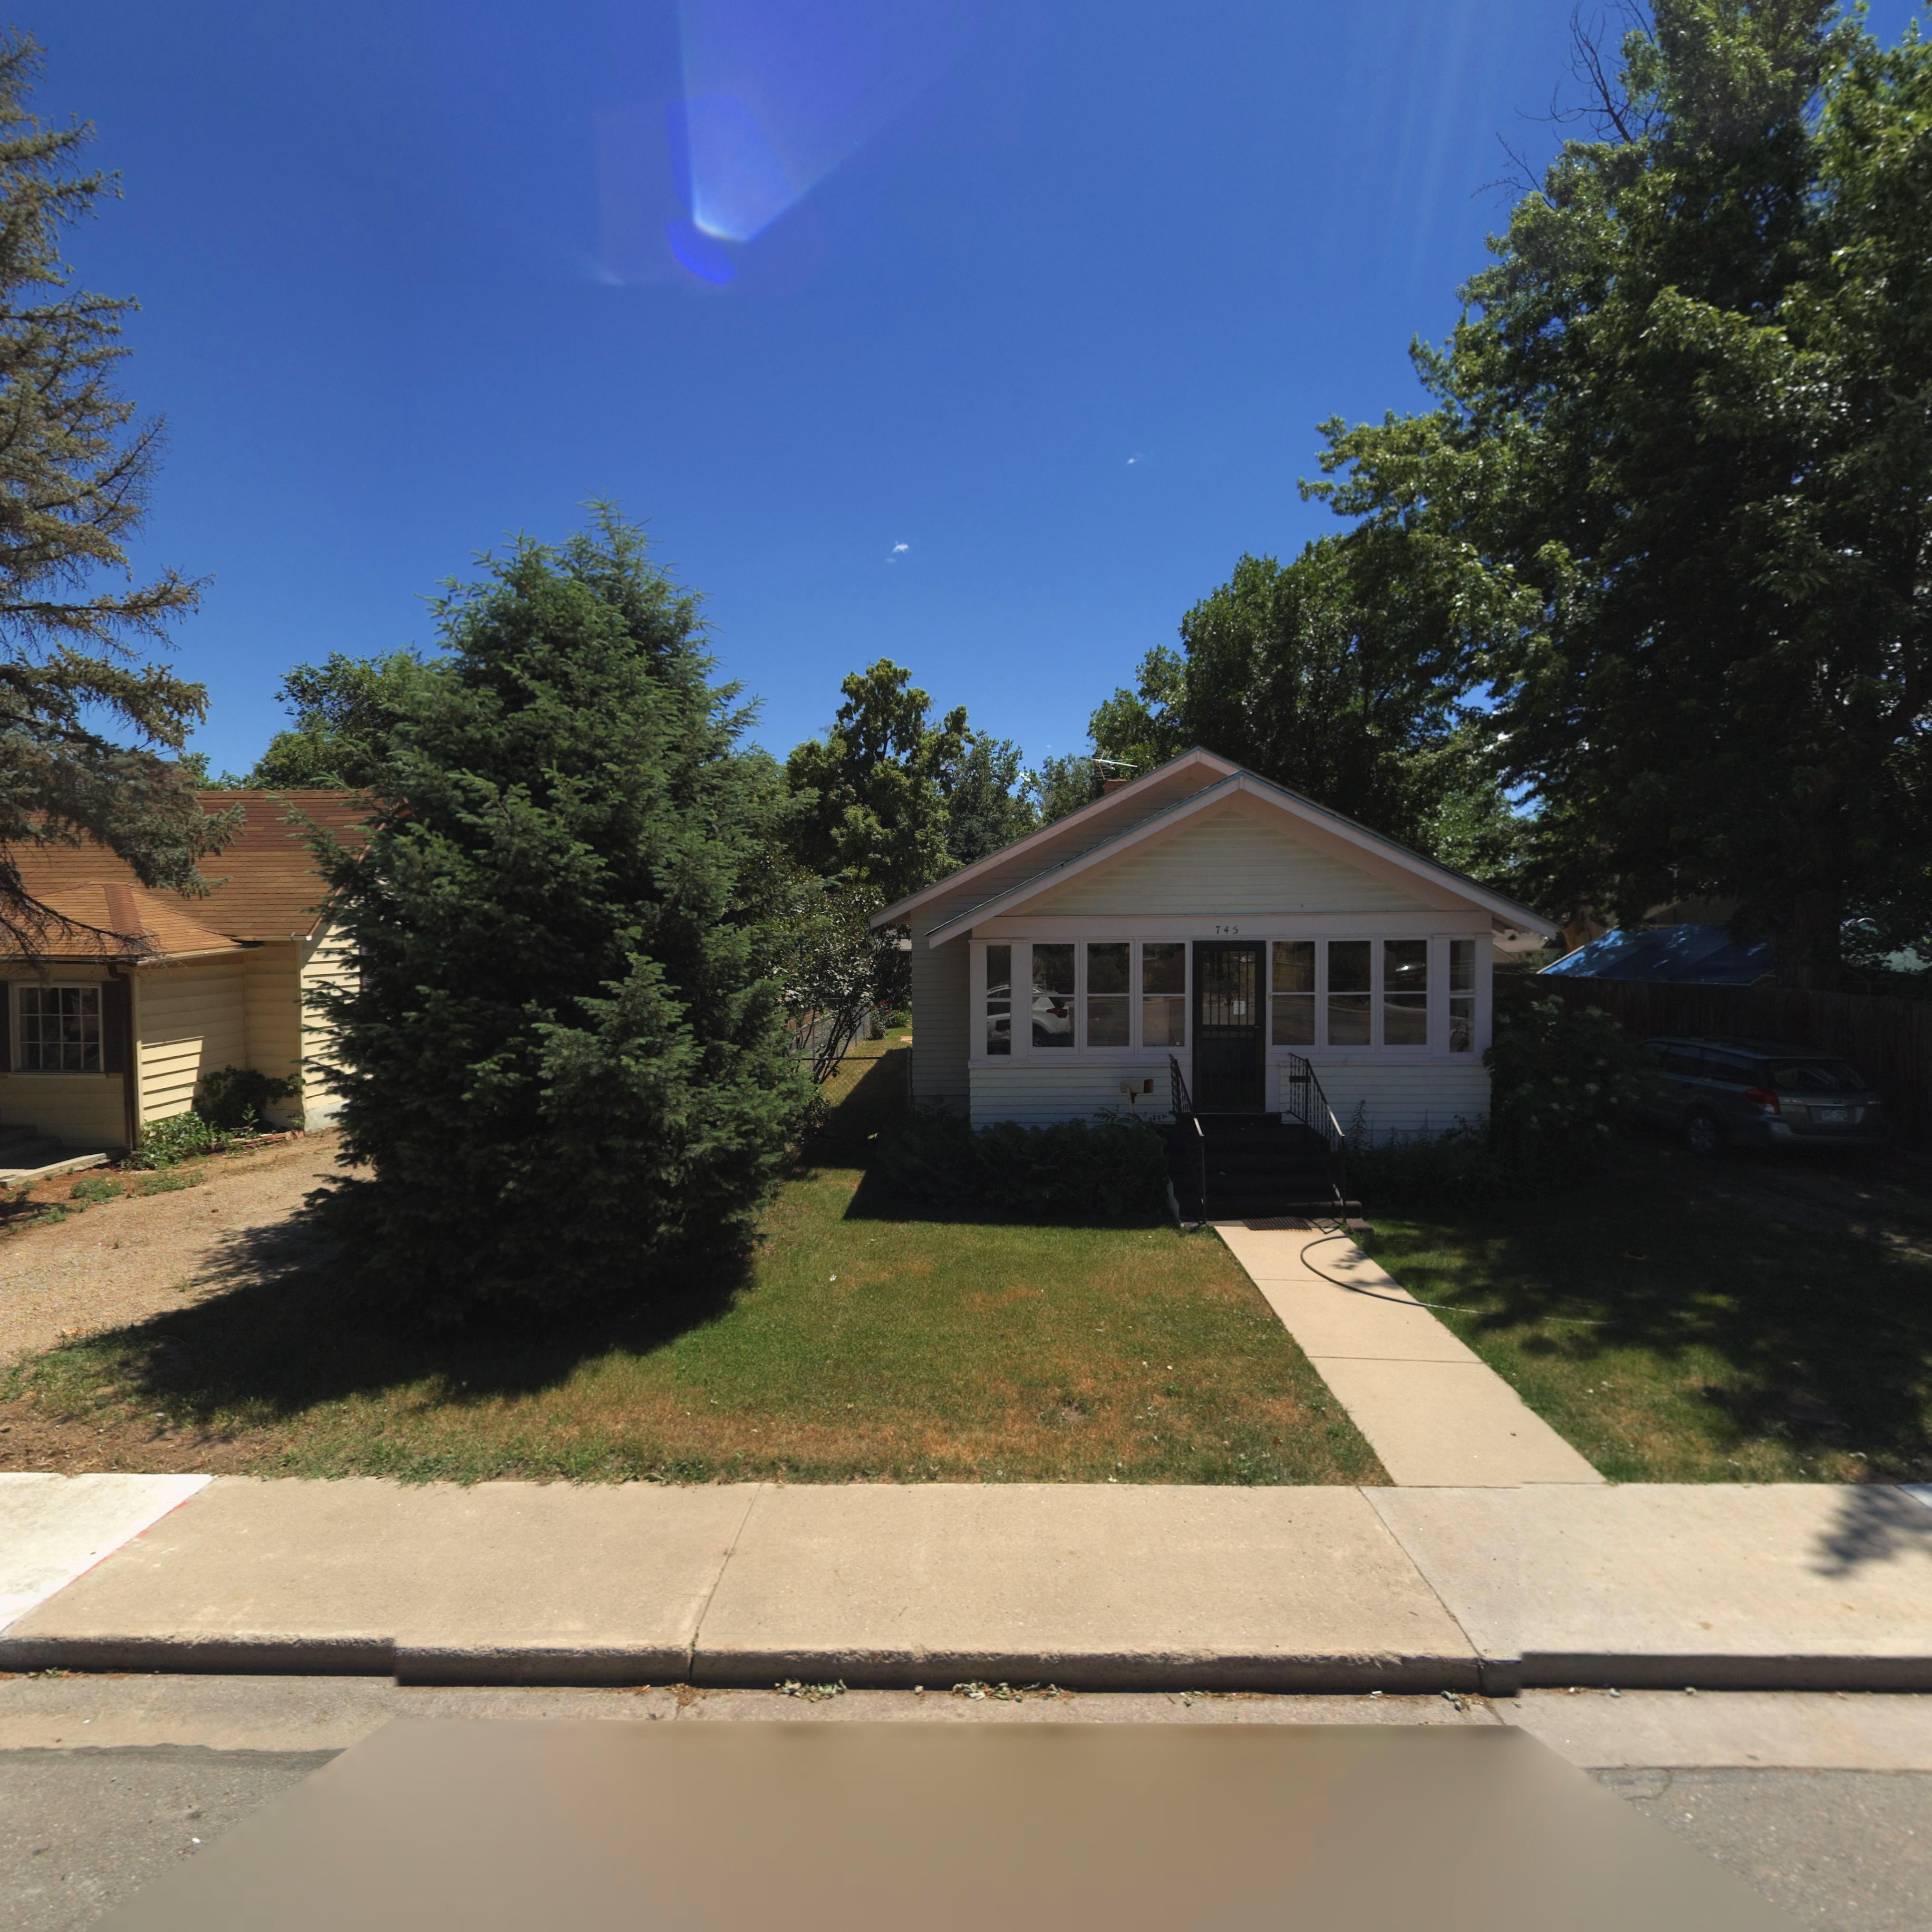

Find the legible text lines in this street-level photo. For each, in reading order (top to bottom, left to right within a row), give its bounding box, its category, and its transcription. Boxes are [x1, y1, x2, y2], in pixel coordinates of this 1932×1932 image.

[1214, 925, 1238, 934] StreetNumber: 745